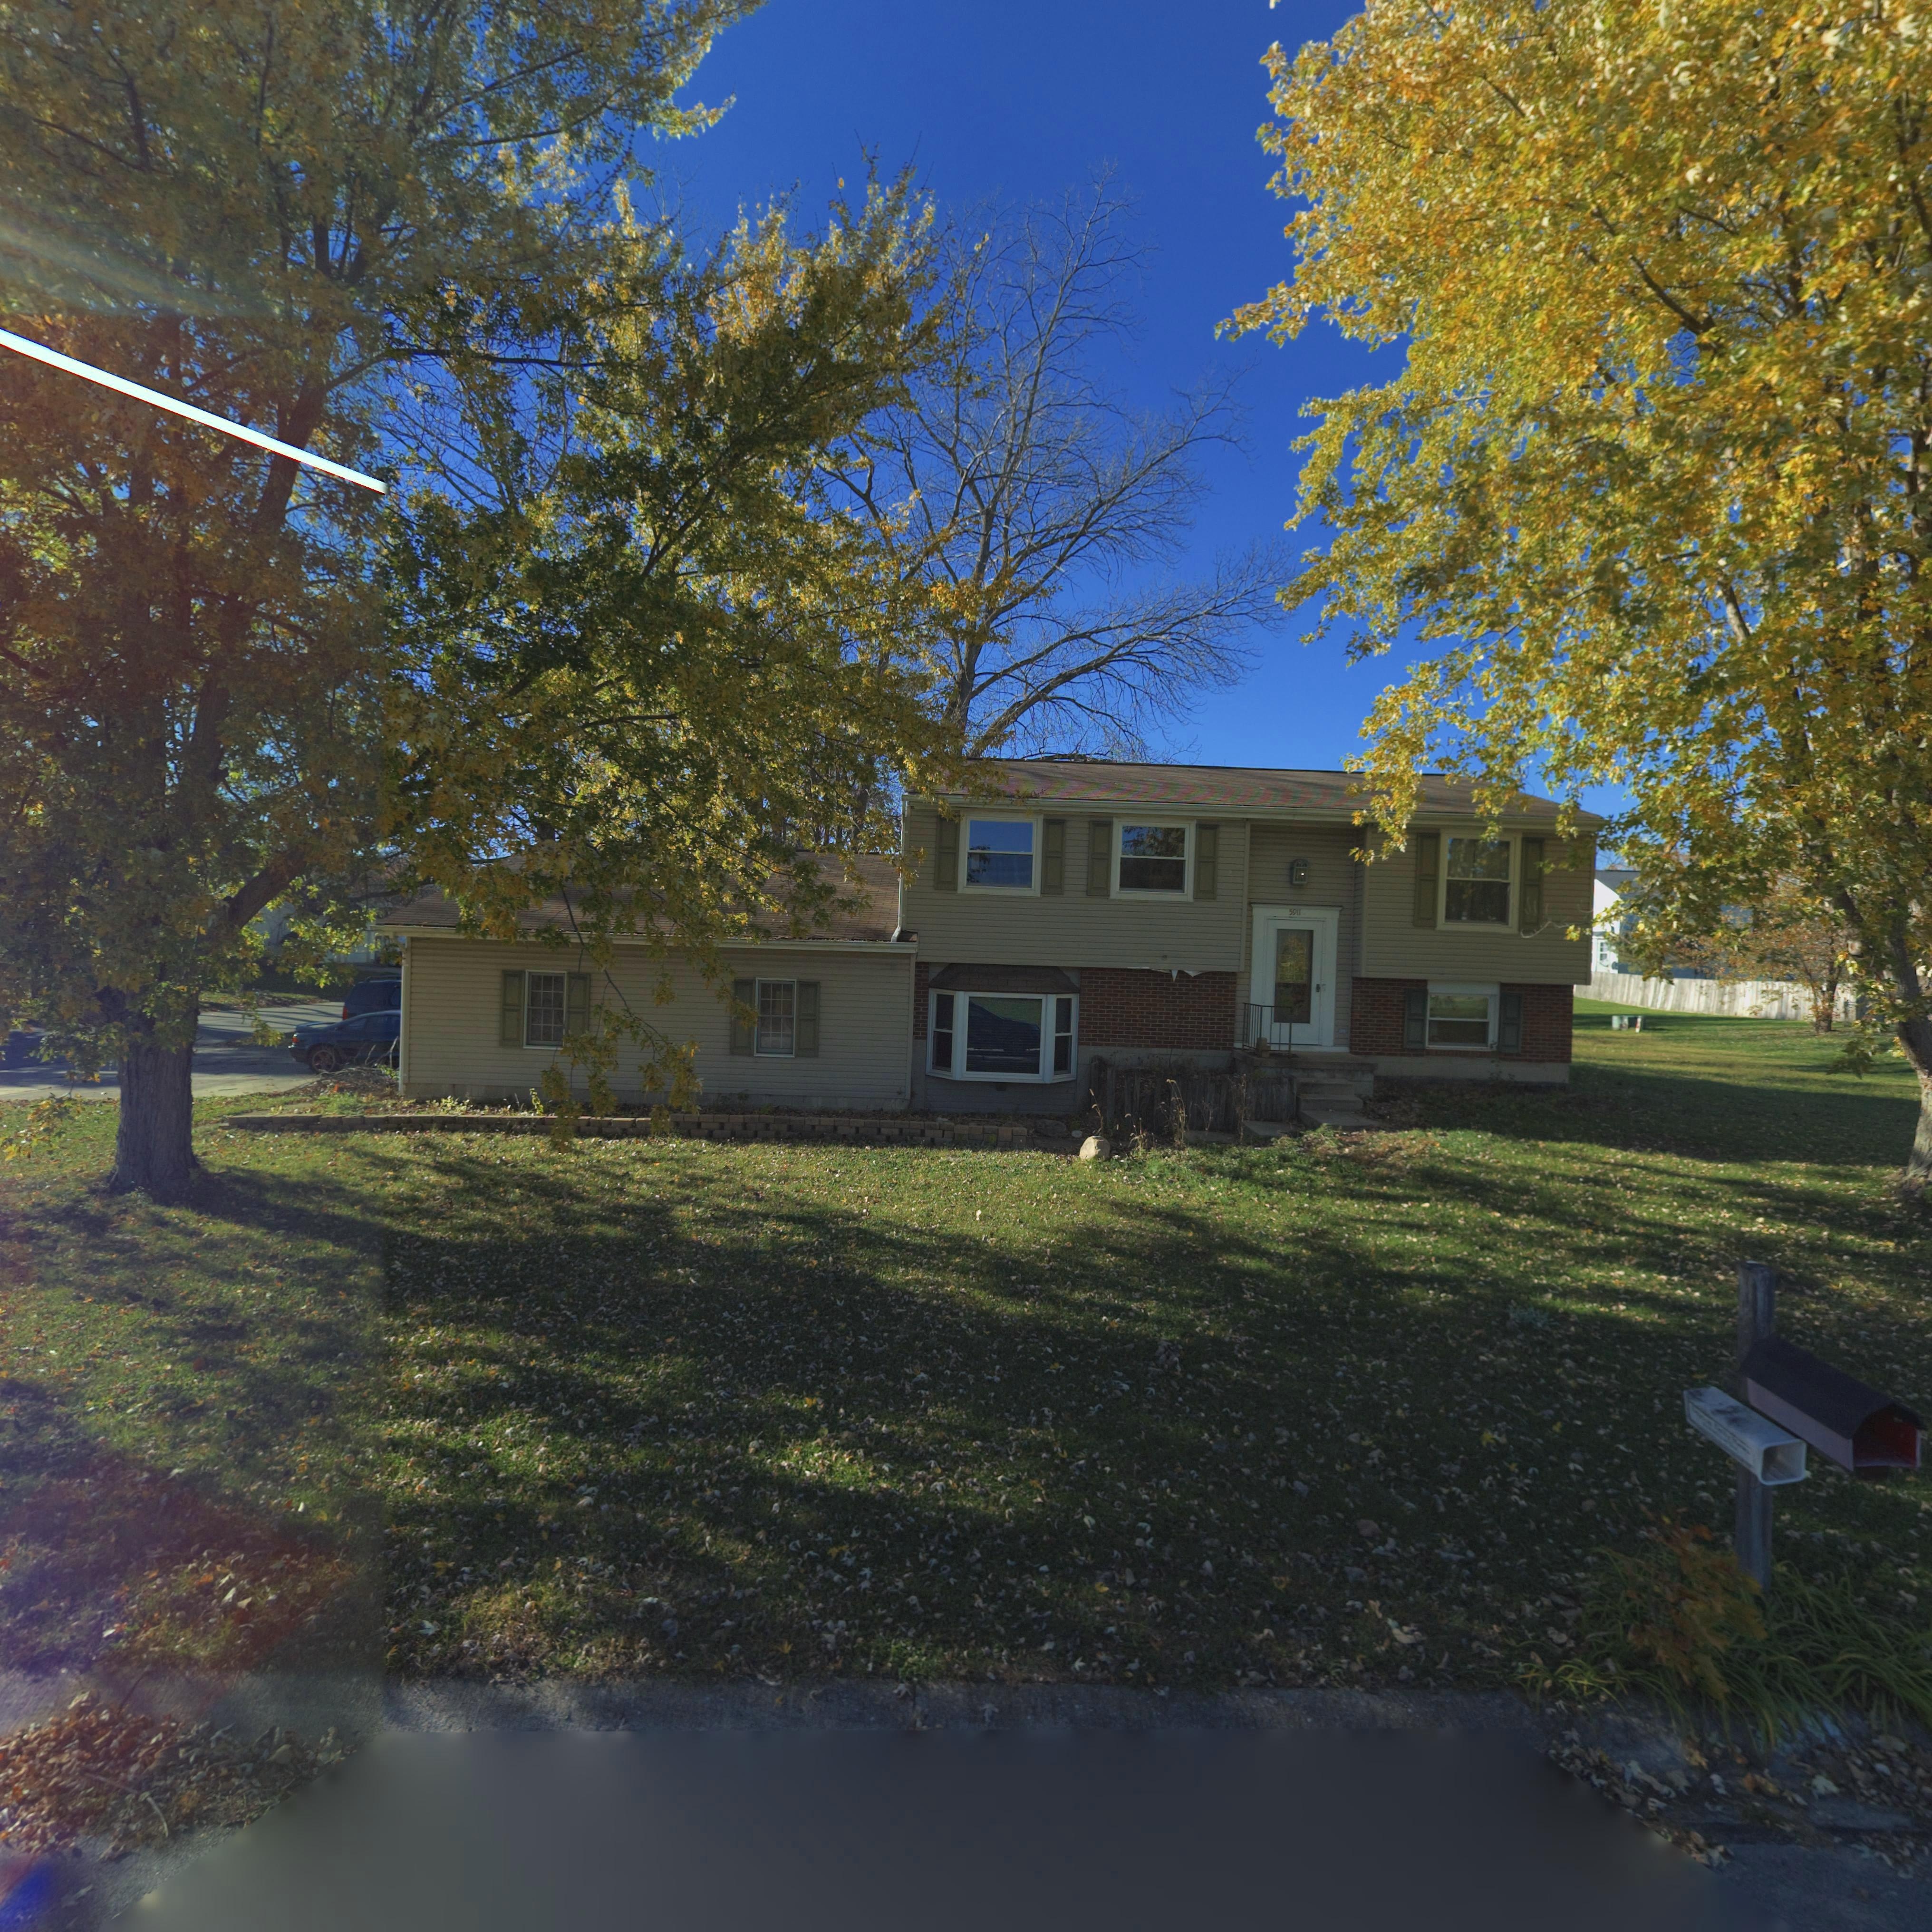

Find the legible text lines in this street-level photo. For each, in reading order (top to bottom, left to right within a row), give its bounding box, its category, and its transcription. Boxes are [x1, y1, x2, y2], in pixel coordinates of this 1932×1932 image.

[1288, 908, 1302, 917] StreetNumber: 5911